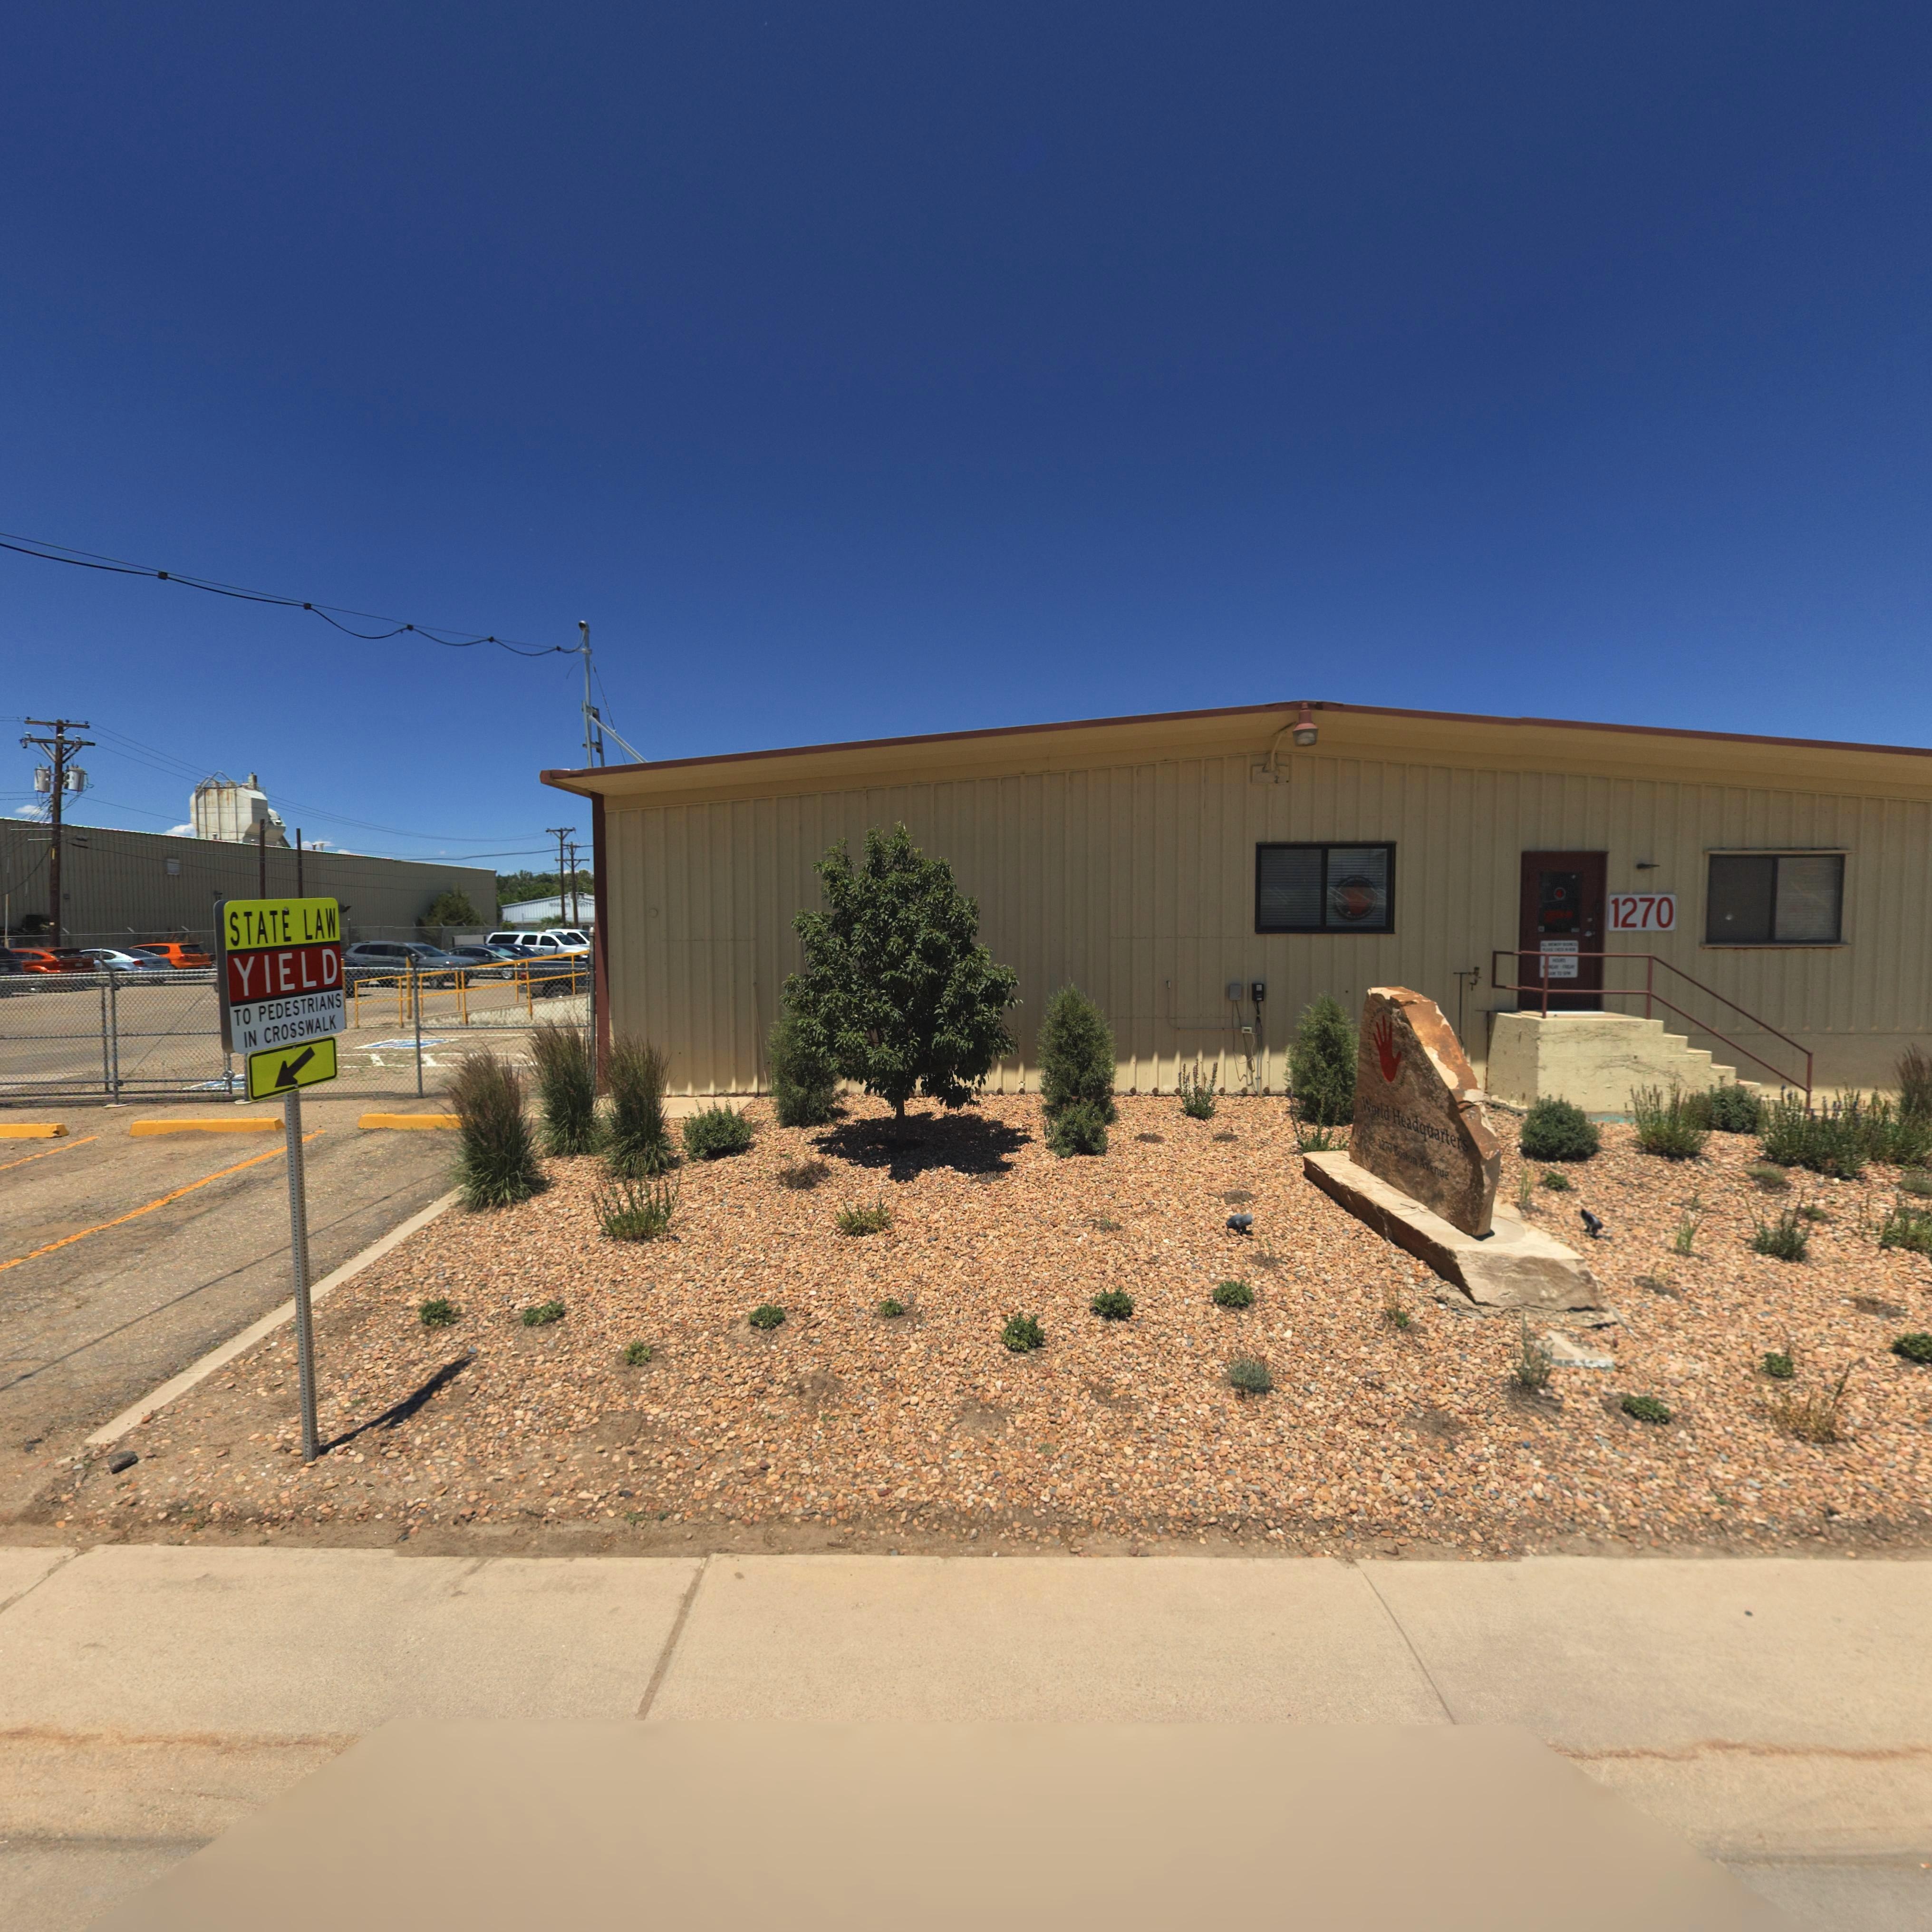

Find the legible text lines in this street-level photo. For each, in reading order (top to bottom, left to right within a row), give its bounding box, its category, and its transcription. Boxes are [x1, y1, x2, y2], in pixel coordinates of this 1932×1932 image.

[1610, 896, 1674, 929] StreetNumber: 1270
[1367, 1005, 1407, 1054] BusinessName: LEFT HAND BREWING COMPANY
[1377, 1138, 1392, 1153] StreetNumber: 1270
[1392, 1143, 1449, 1180] StreetName: Boston Avenue